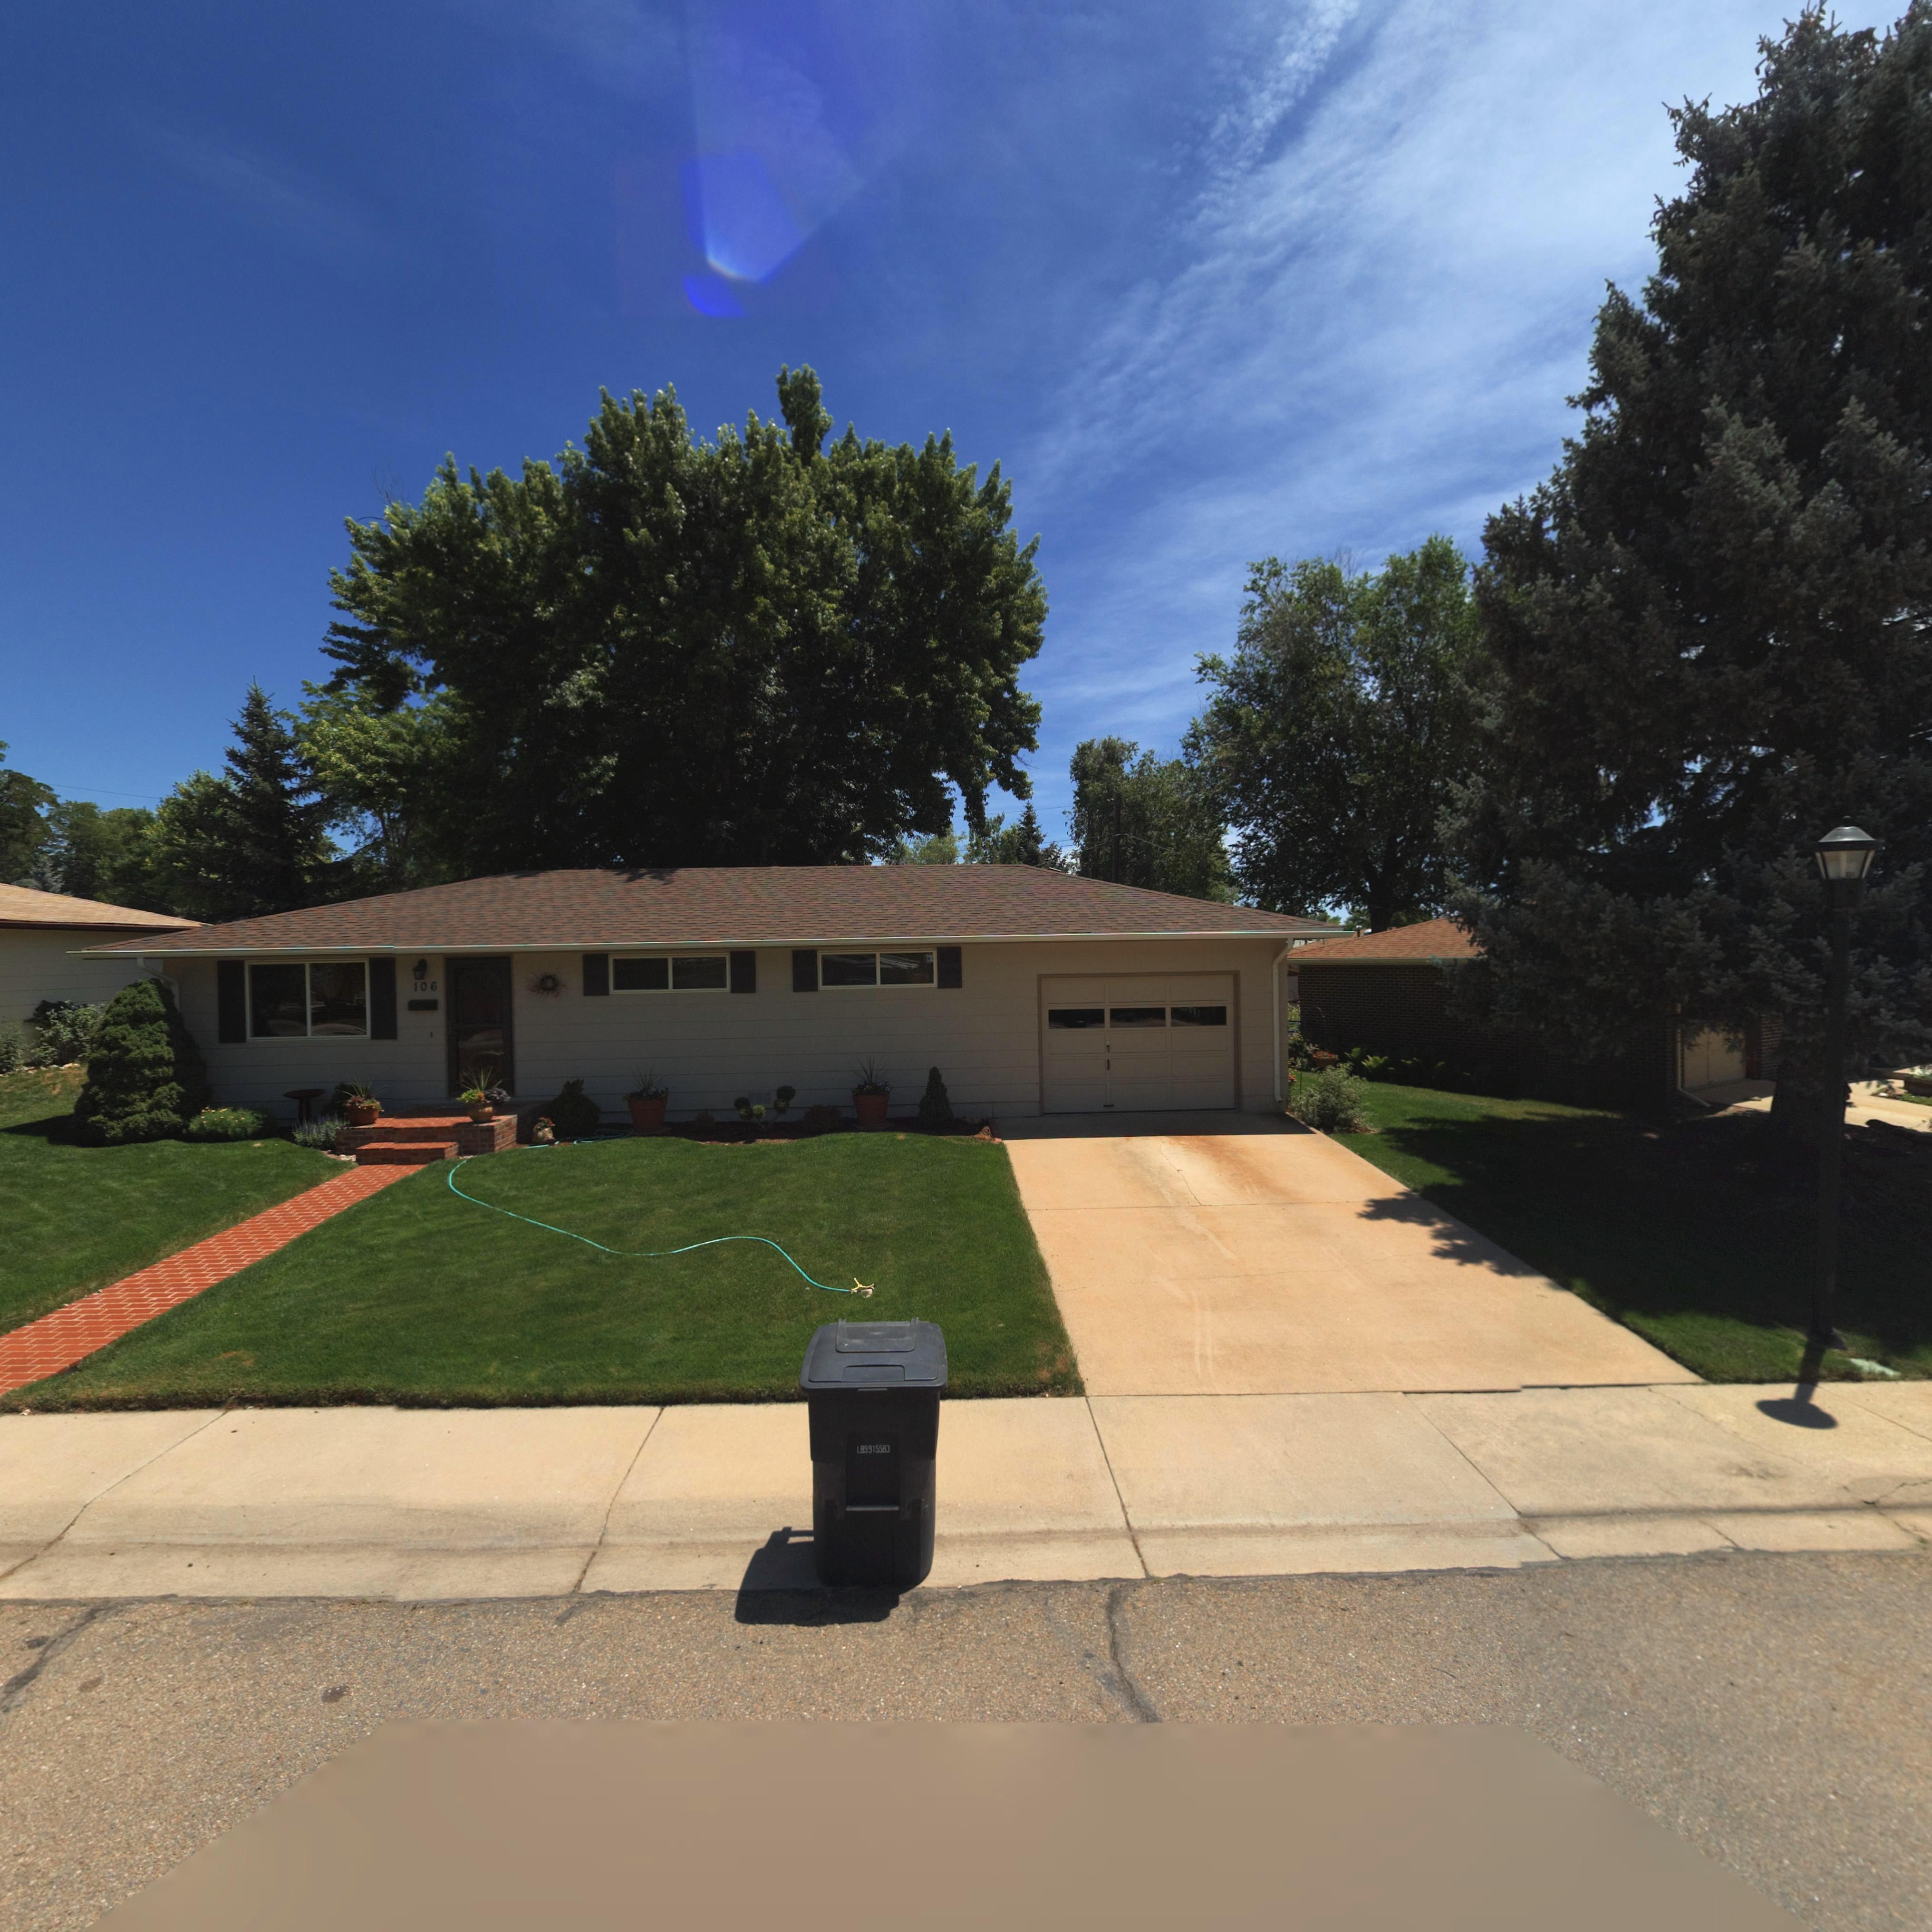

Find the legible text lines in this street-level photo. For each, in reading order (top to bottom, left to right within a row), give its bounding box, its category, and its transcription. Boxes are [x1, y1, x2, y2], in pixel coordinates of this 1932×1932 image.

[413, 981, 438, 992] StreetNumber: 106